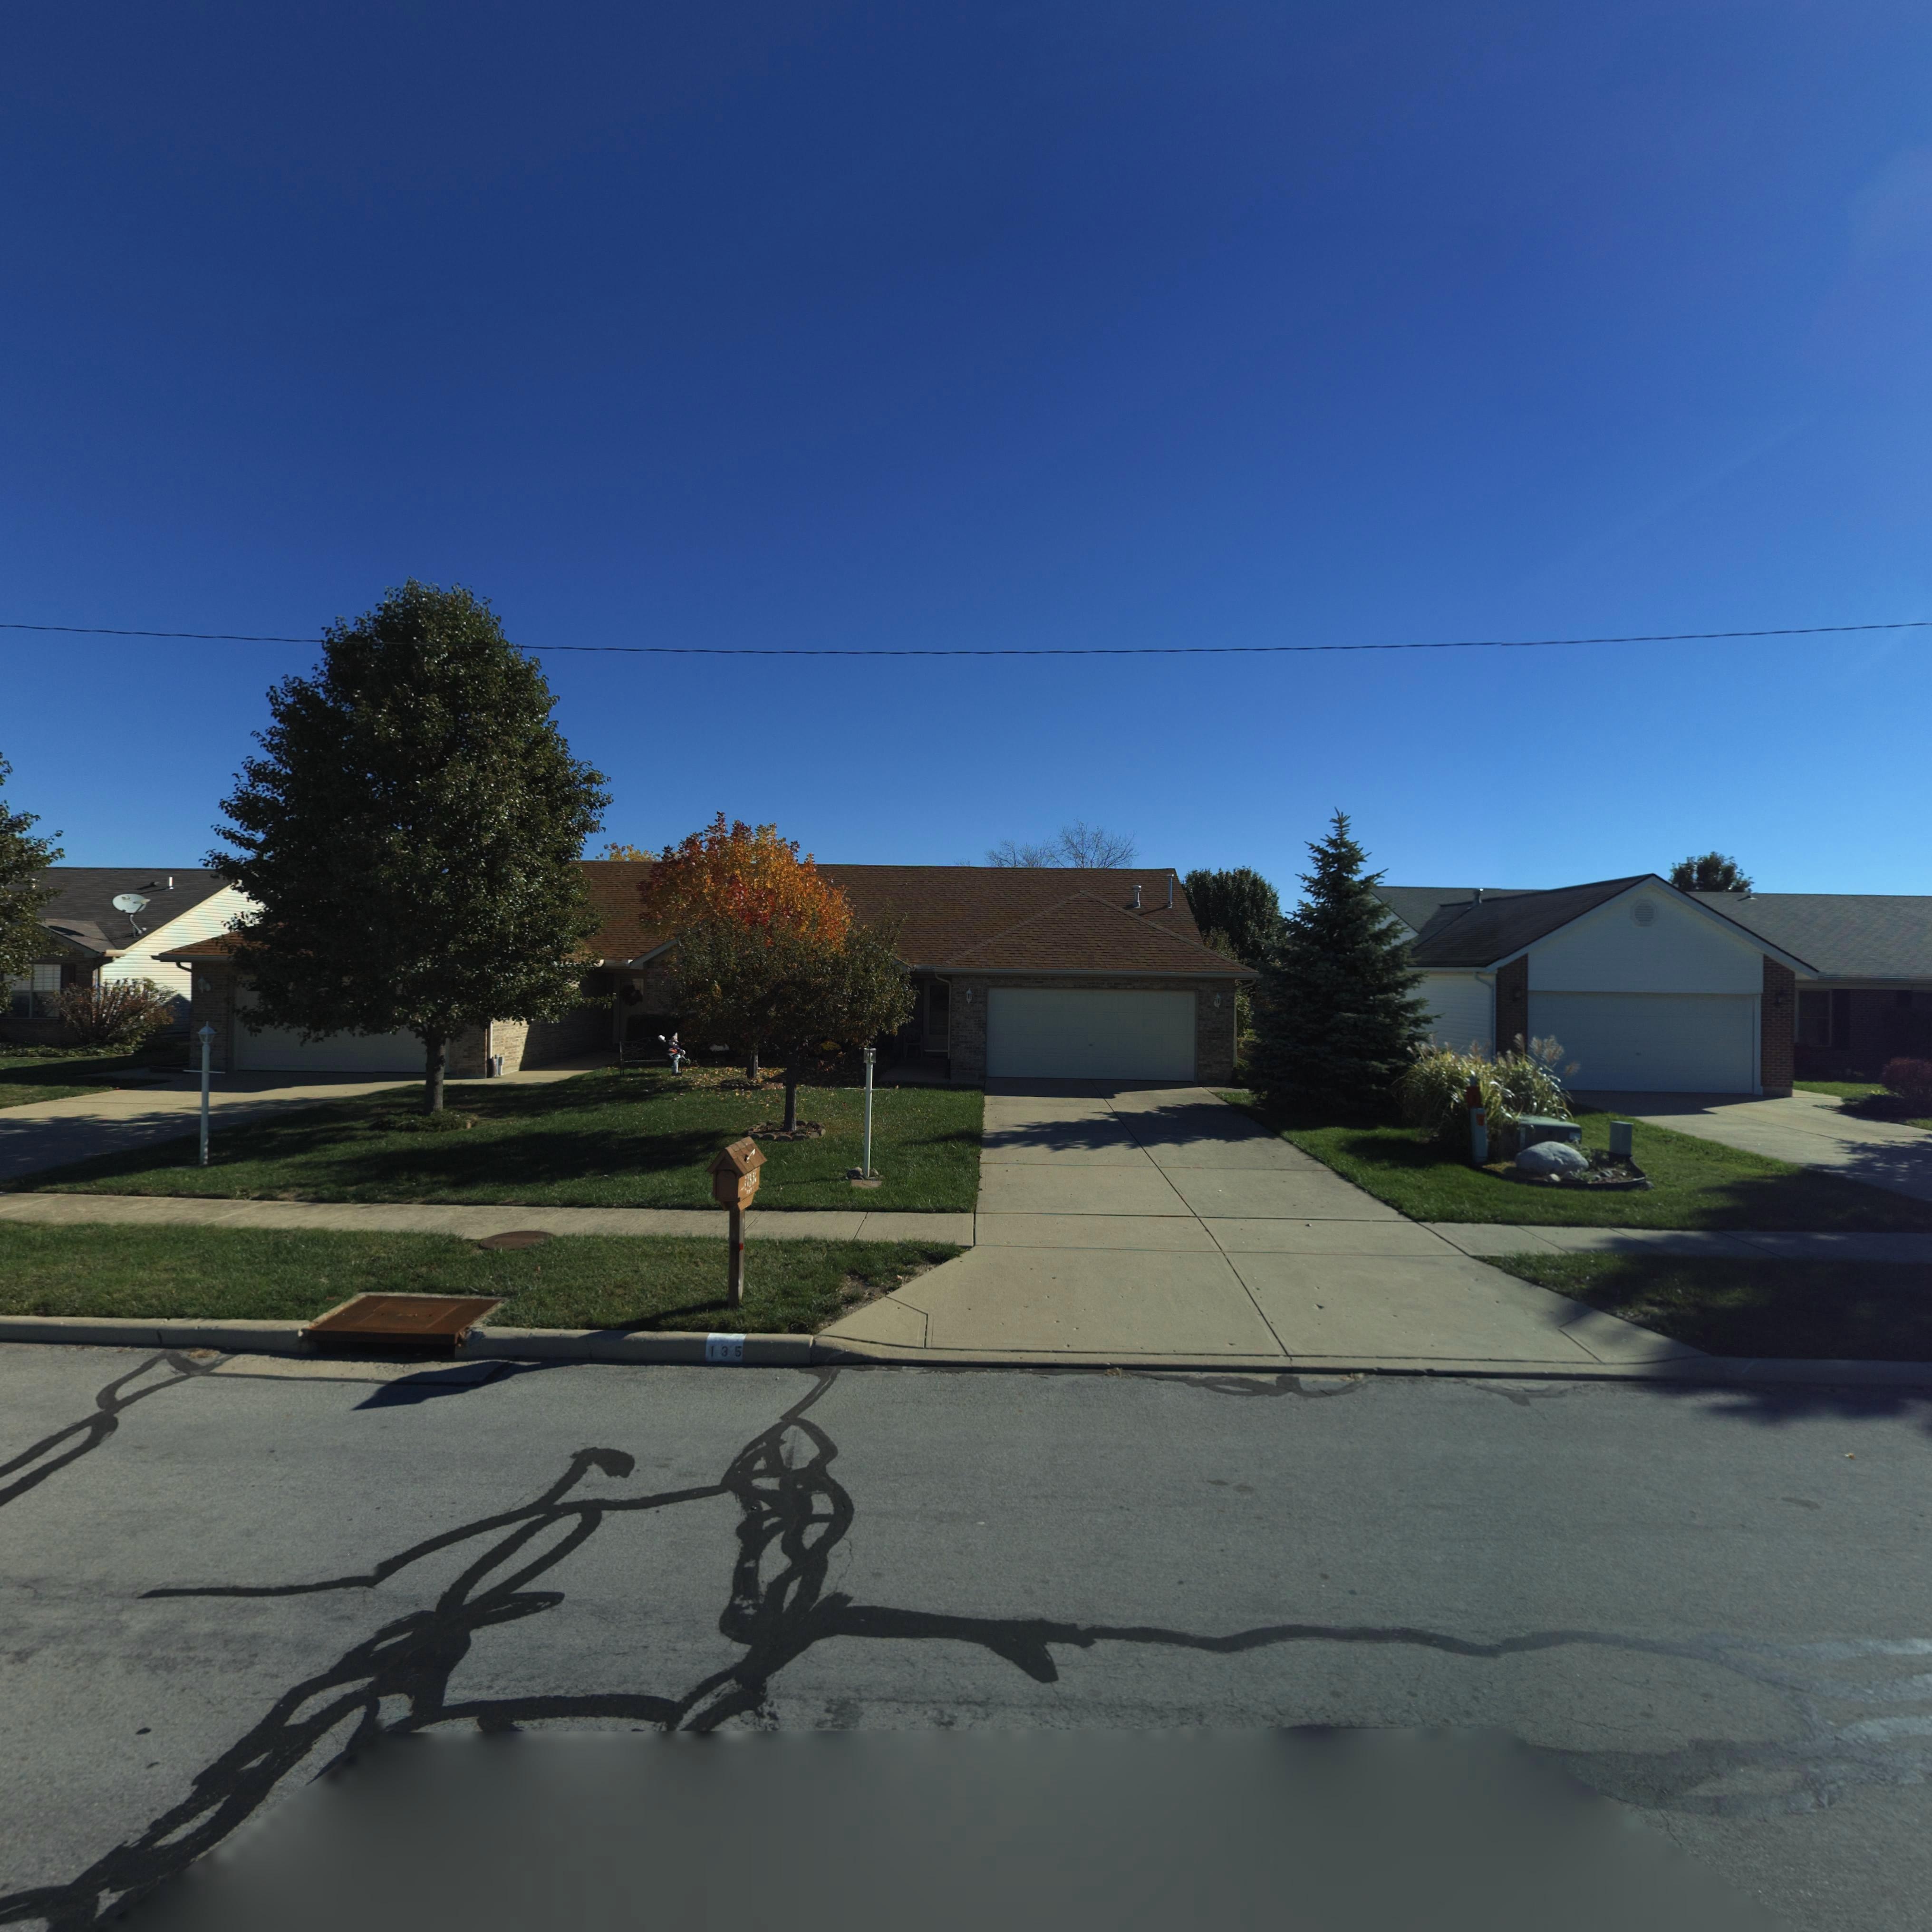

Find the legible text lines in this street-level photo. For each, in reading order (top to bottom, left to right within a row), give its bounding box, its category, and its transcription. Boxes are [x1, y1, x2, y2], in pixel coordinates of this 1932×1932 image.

[746, 1171, 755, 1188] StreetNumber: 135
[710, 1345, 742, 1358] StreetNumber: 135